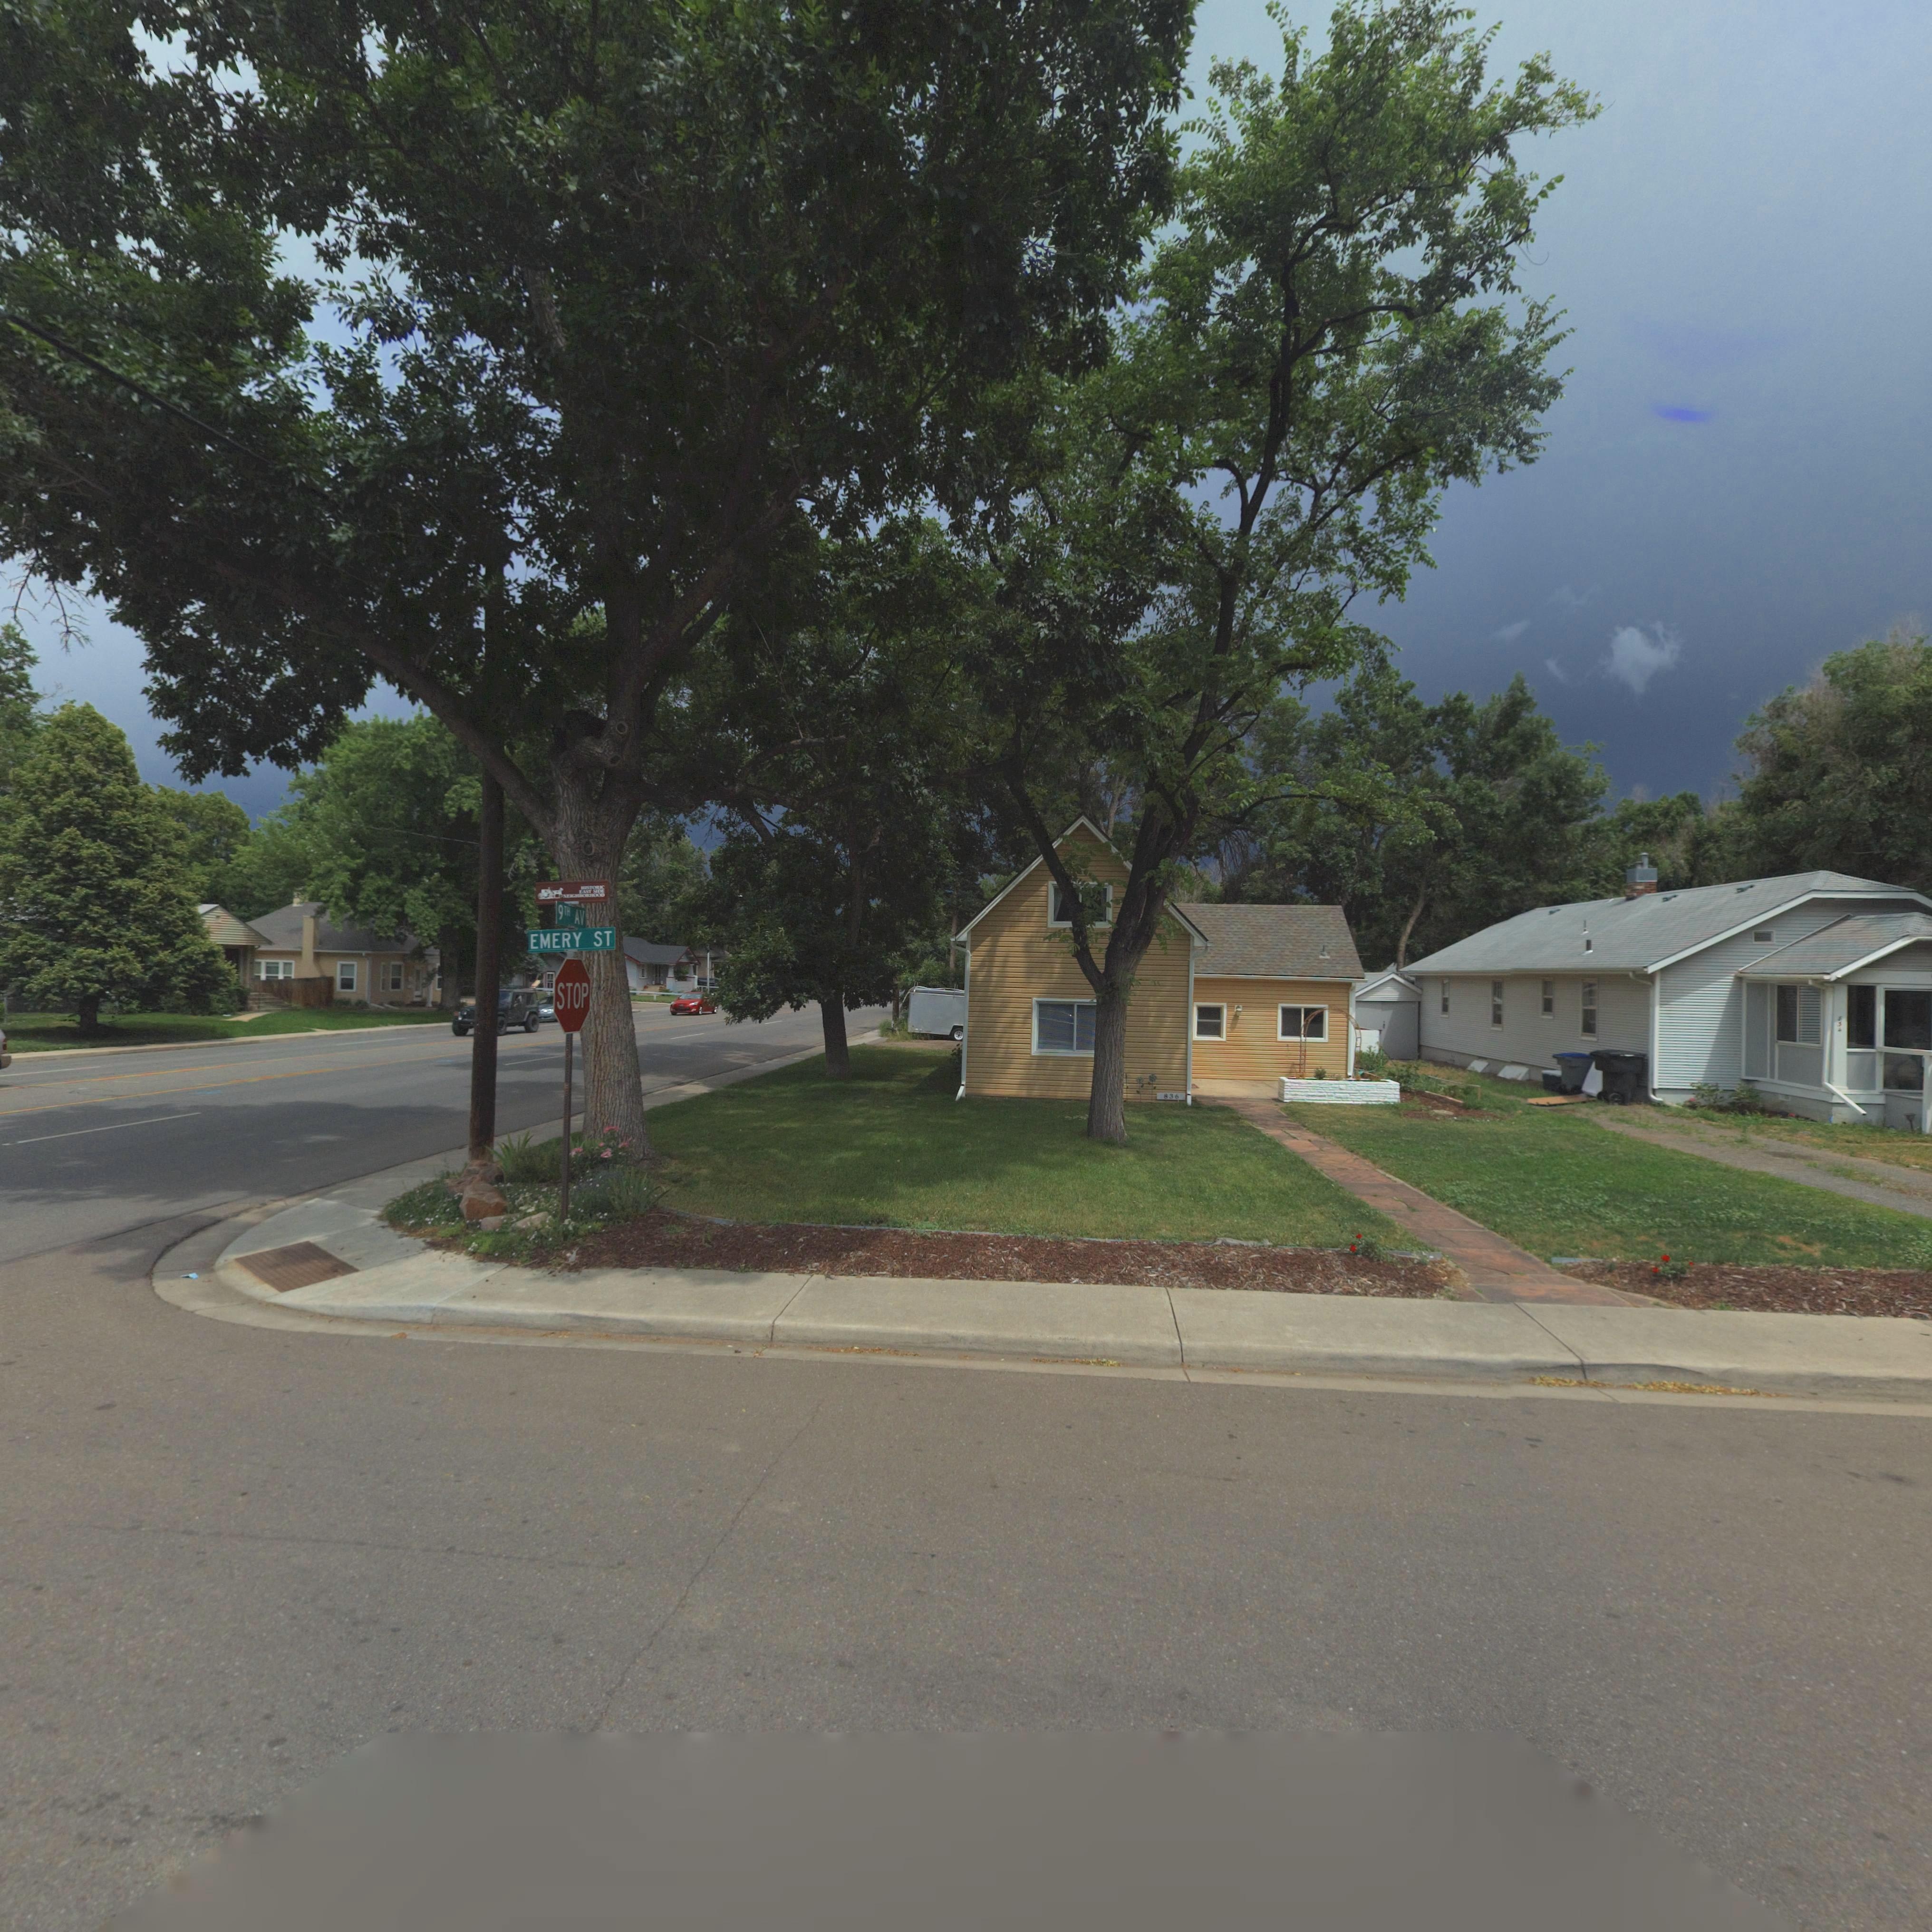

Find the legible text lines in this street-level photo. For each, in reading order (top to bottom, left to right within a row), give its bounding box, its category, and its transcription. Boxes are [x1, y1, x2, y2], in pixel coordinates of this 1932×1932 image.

[558, 904, 585, 926] StreetName: 9TH AV
[530, 930, 613, 949] StreetName: EMERY ST
[1837, 1015, 1842, 1032] StreetNumber: 834
[1163, 1093, 1179, 1099] StreetNumber: 836